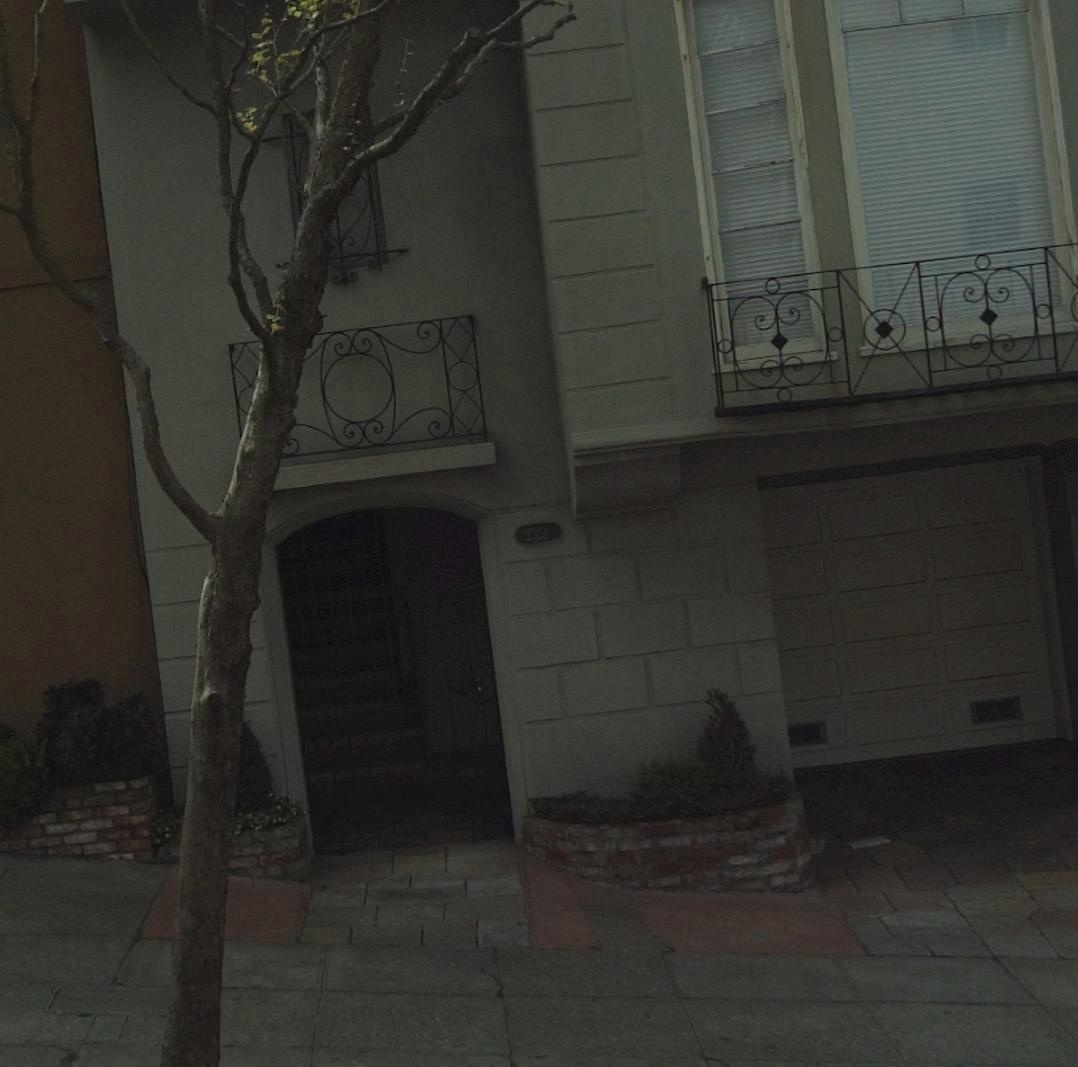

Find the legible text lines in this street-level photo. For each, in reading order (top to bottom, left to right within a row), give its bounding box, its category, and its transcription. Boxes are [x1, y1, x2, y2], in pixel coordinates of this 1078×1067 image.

[523, 524, 552, 545] StreetNumber: 2361